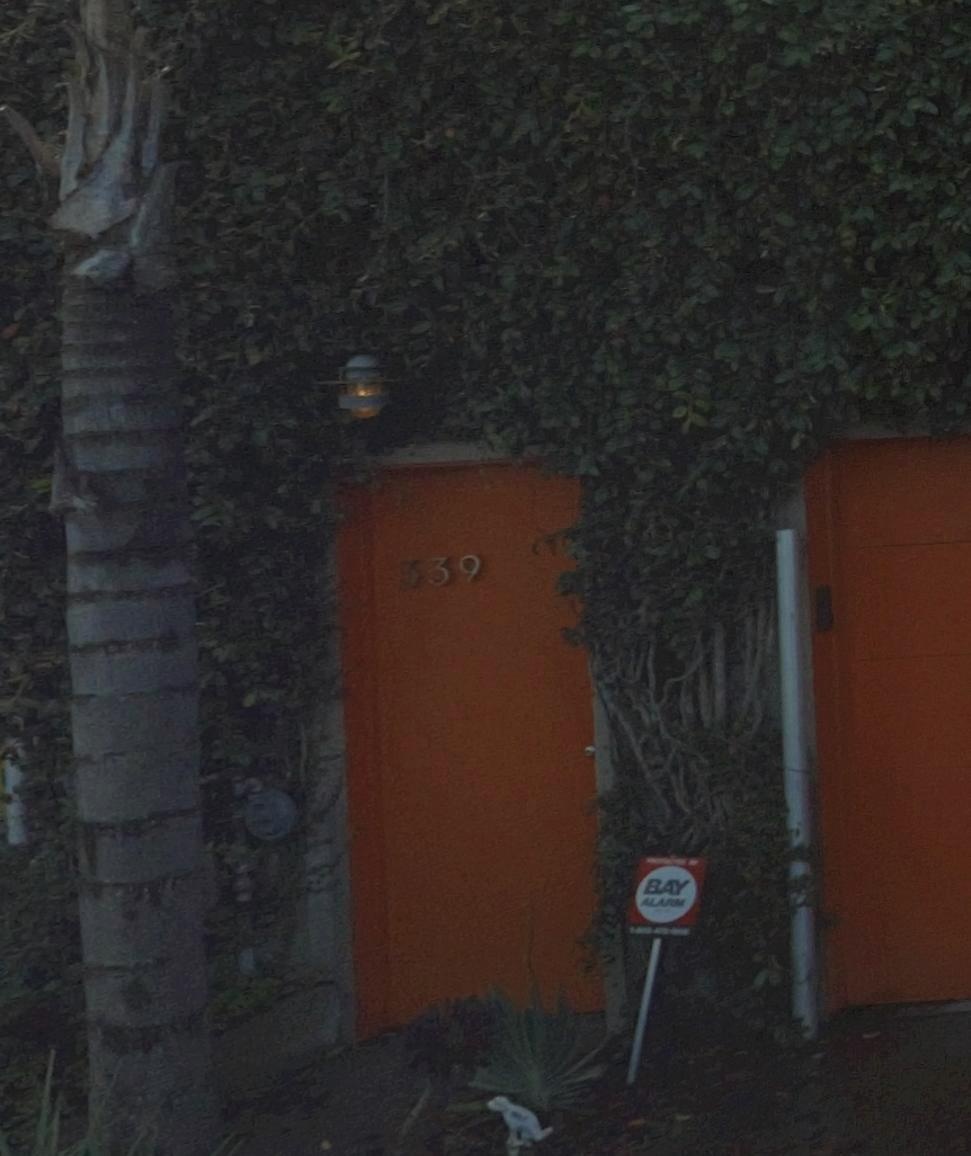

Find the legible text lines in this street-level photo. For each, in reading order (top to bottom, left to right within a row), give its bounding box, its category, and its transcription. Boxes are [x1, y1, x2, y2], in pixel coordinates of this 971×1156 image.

[397, 552, 485, 589] StreetNumber: 339
[642, 877, 691, 896] None: BAY
[637, 895, 686, 910] None: ALARM